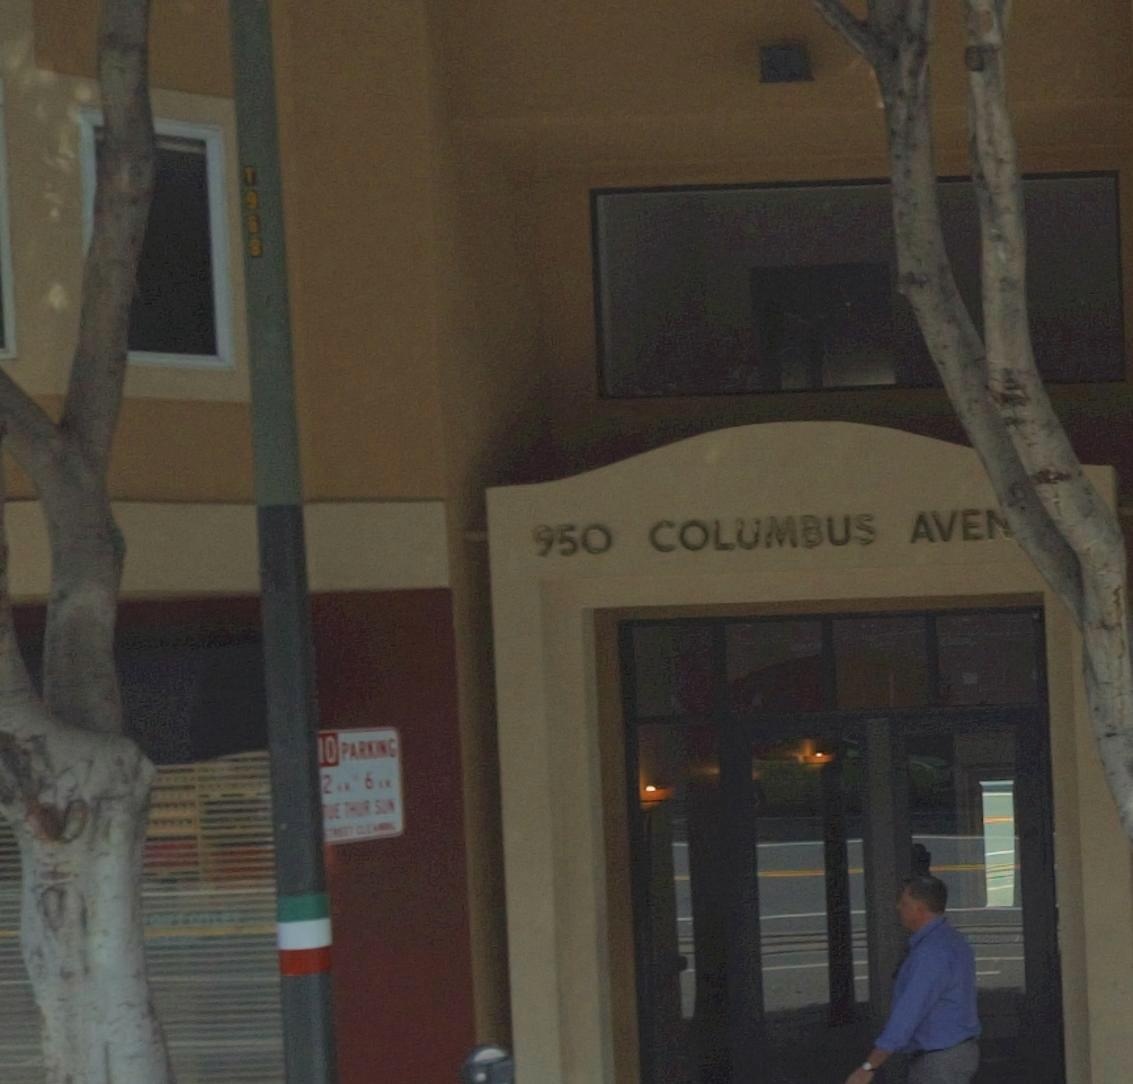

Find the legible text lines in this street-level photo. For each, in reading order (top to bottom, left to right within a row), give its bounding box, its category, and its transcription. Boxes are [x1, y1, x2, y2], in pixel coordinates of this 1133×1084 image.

[241, 165, 263, 261] None: T968
[529, 521, 618, 559] StreetNumber: 950
[645, 505, 987, 557] StreetName: COLUMBUS AVE
[323, 733, 401, 767] None: O PAR***G
[320, 771, 335, 796] None: 2
[362, 769, 376, 792] None: 6